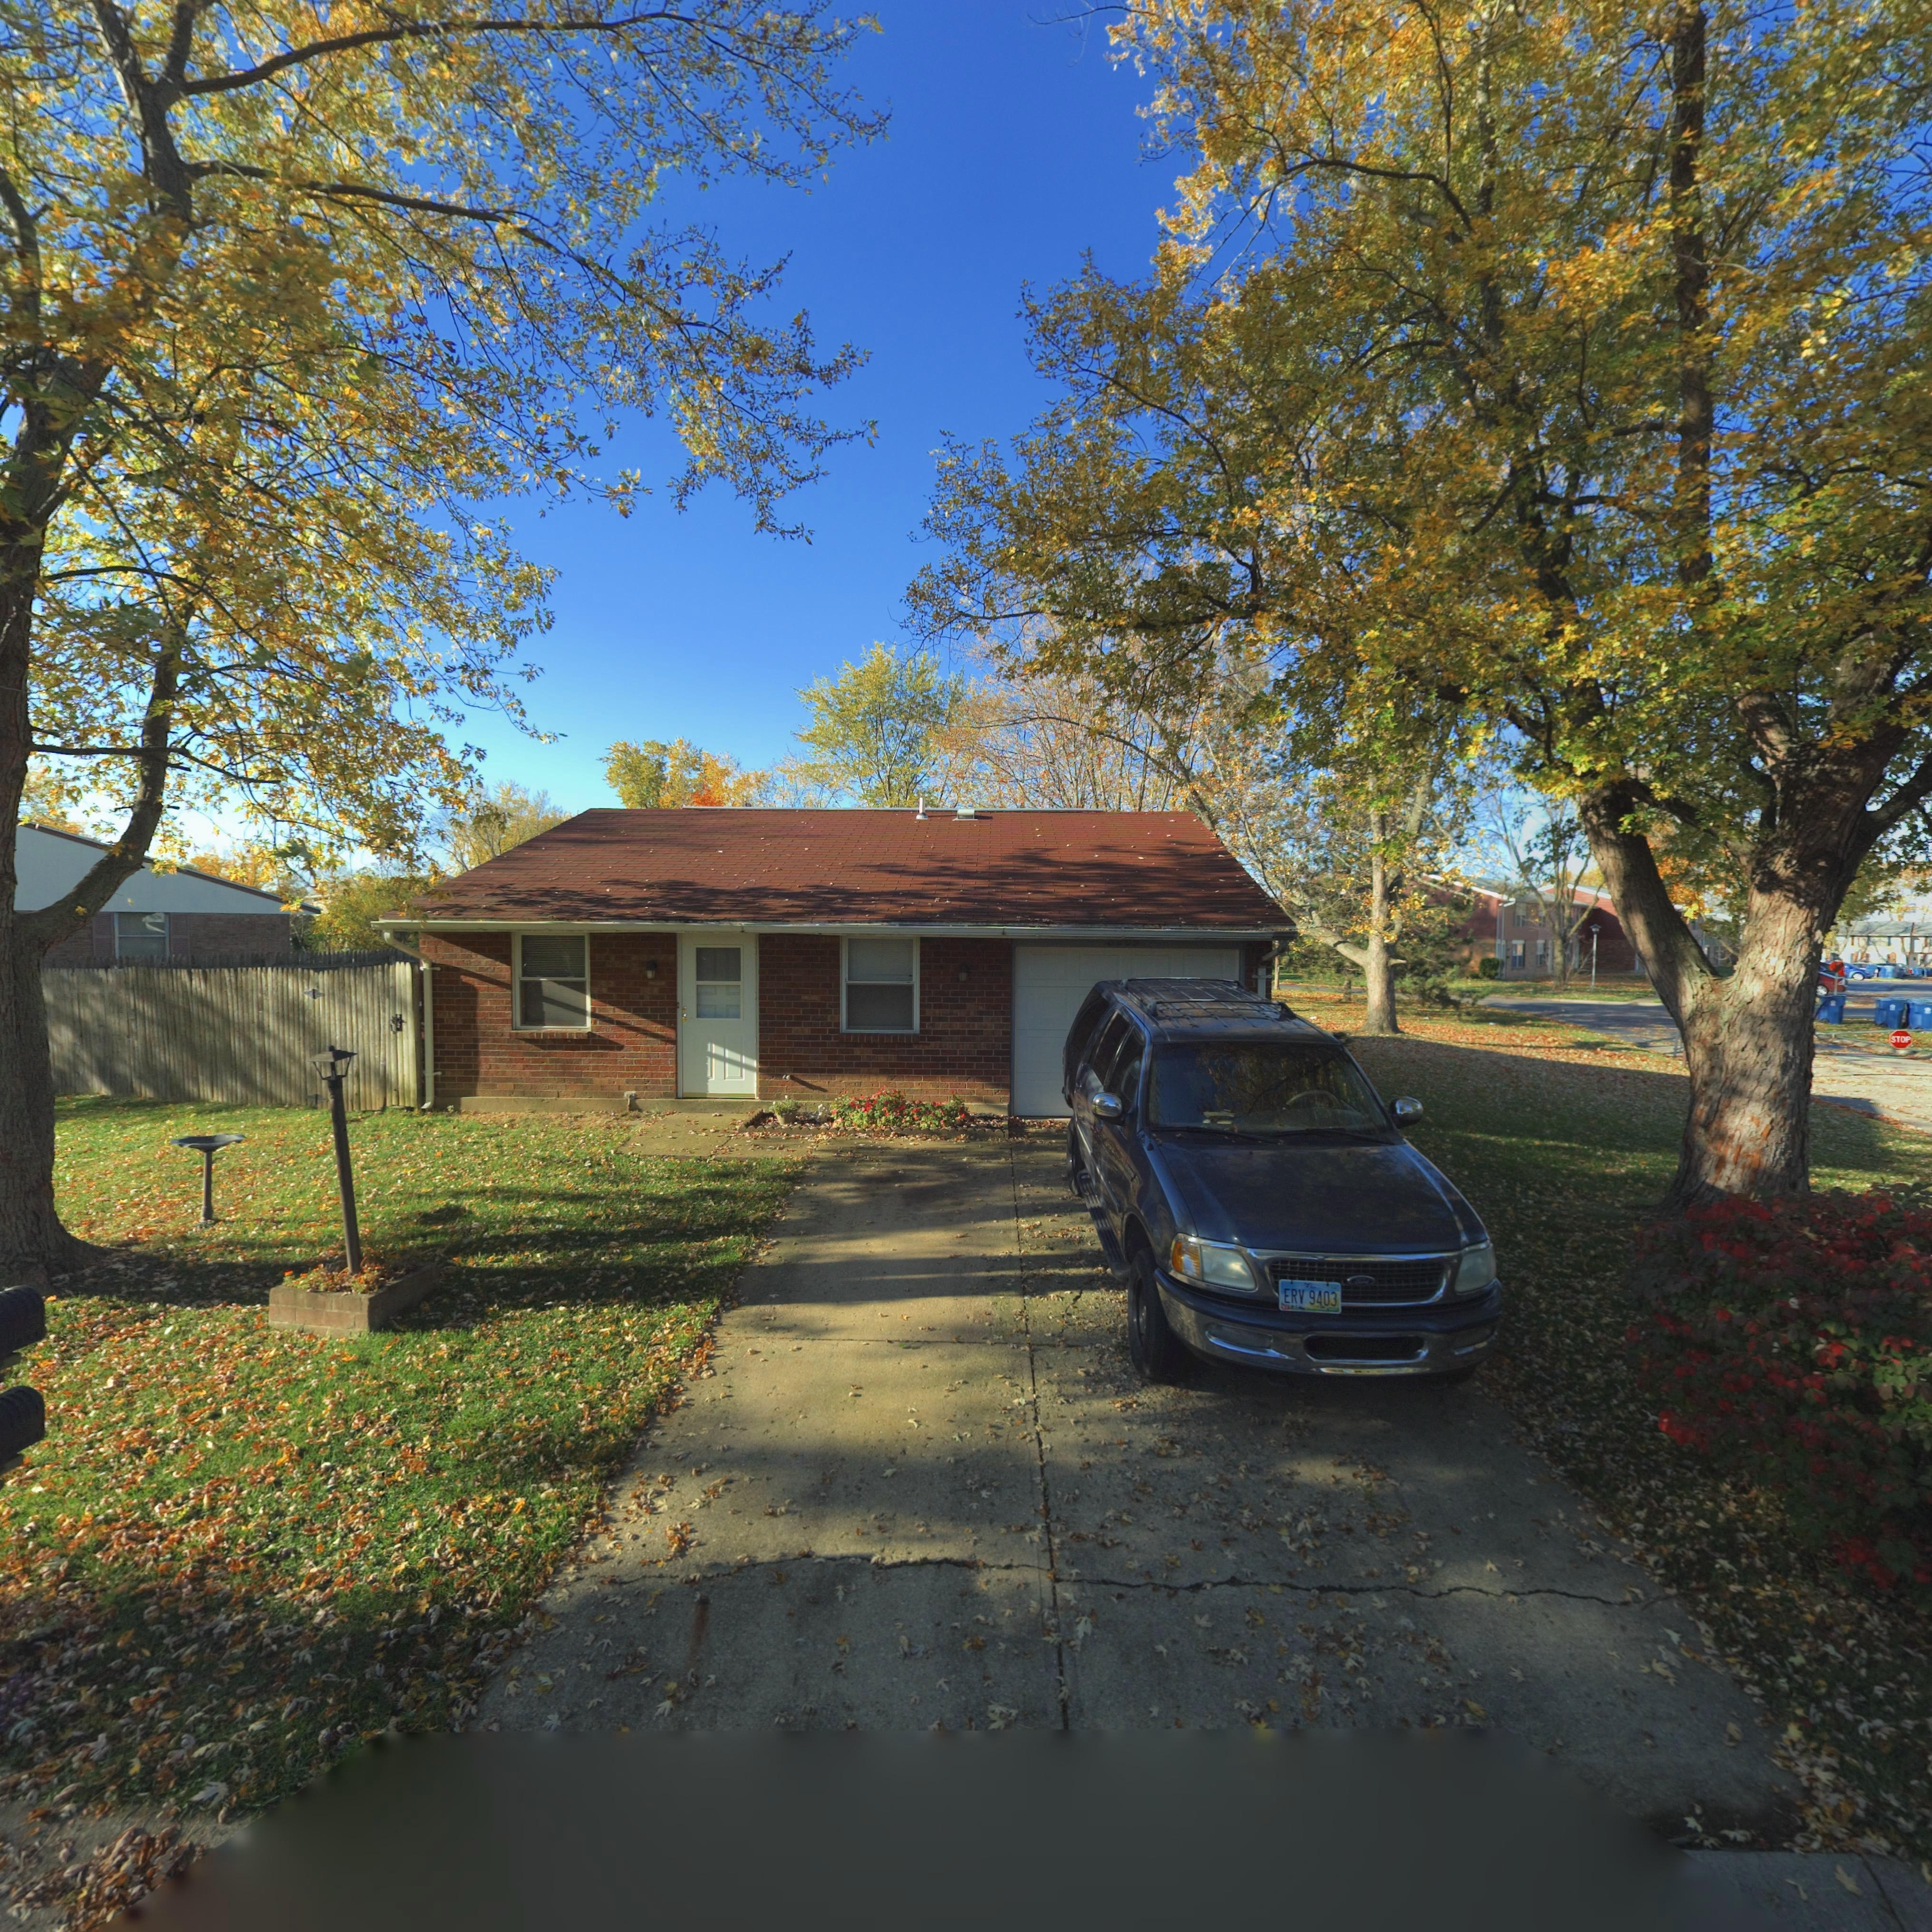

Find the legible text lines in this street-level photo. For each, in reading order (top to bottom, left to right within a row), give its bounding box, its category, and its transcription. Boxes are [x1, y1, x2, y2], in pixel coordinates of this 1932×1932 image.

[1106, 939, 1140, 947] StreetNumber: *2*5